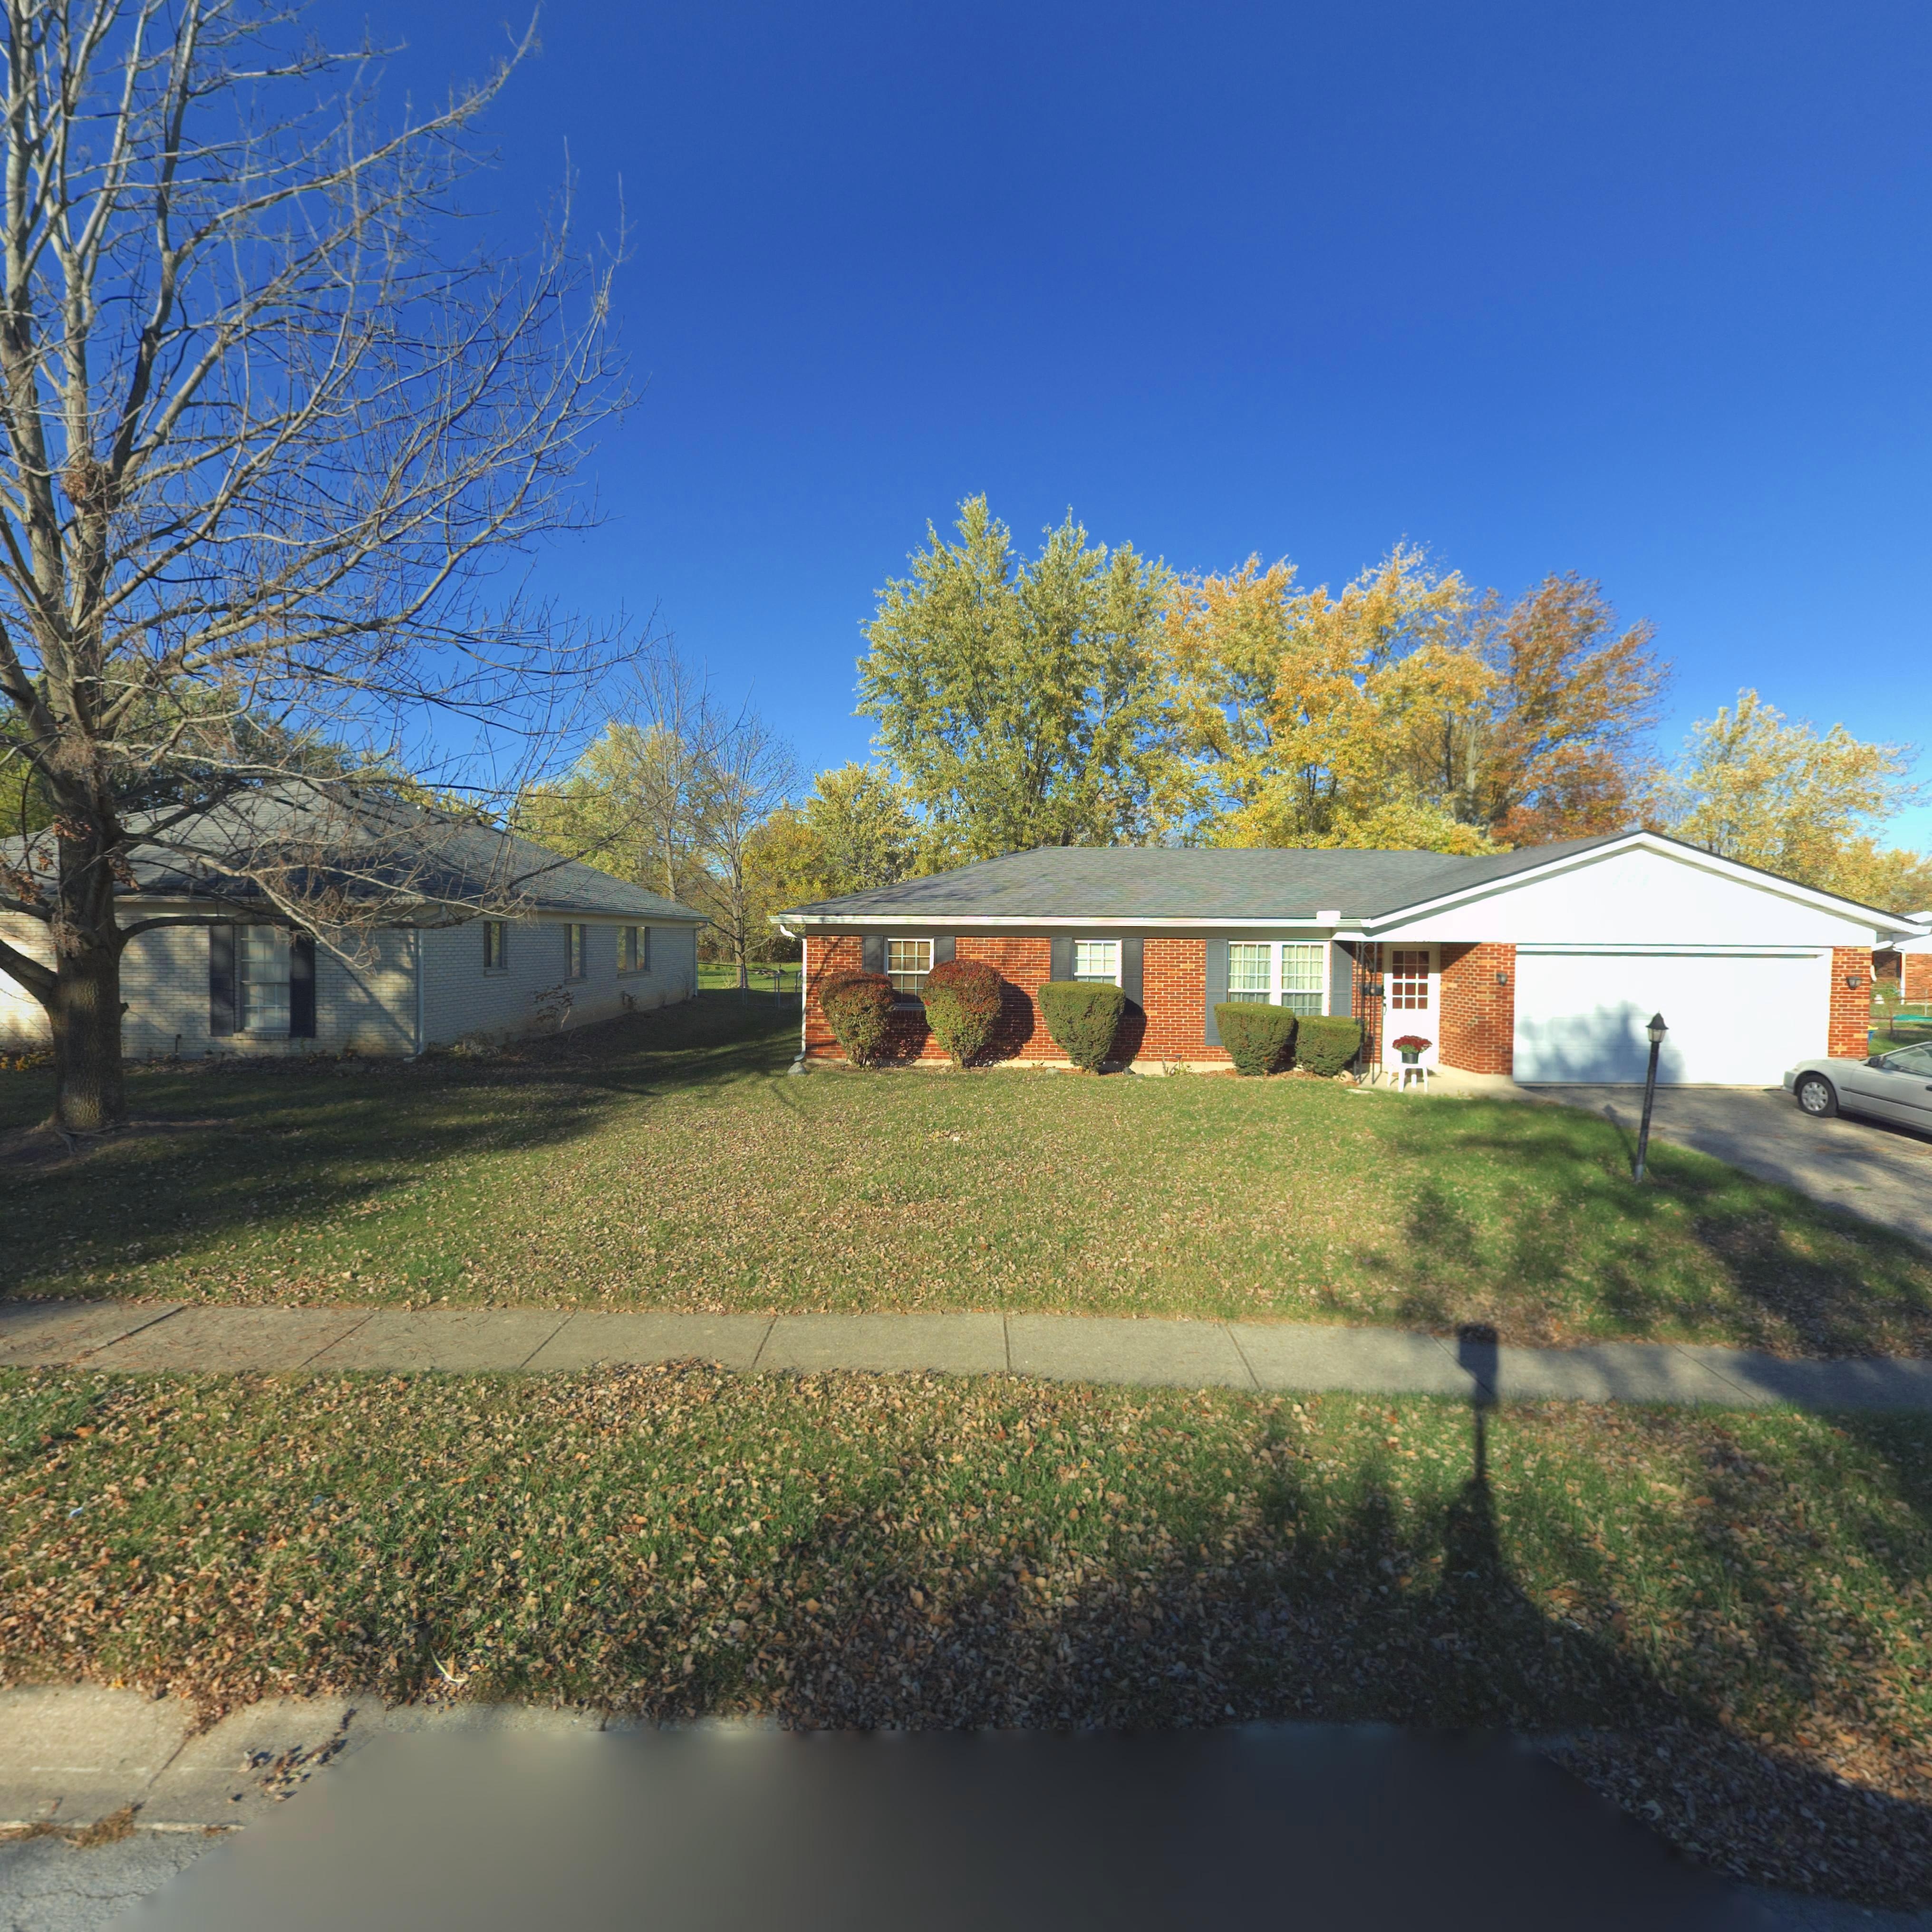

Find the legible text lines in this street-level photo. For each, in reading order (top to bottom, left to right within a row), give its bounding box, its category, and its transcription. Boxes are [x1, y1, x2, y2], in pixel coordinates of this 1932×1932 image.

[1413, 935, 1432, 942] StreetNumber: 5**5